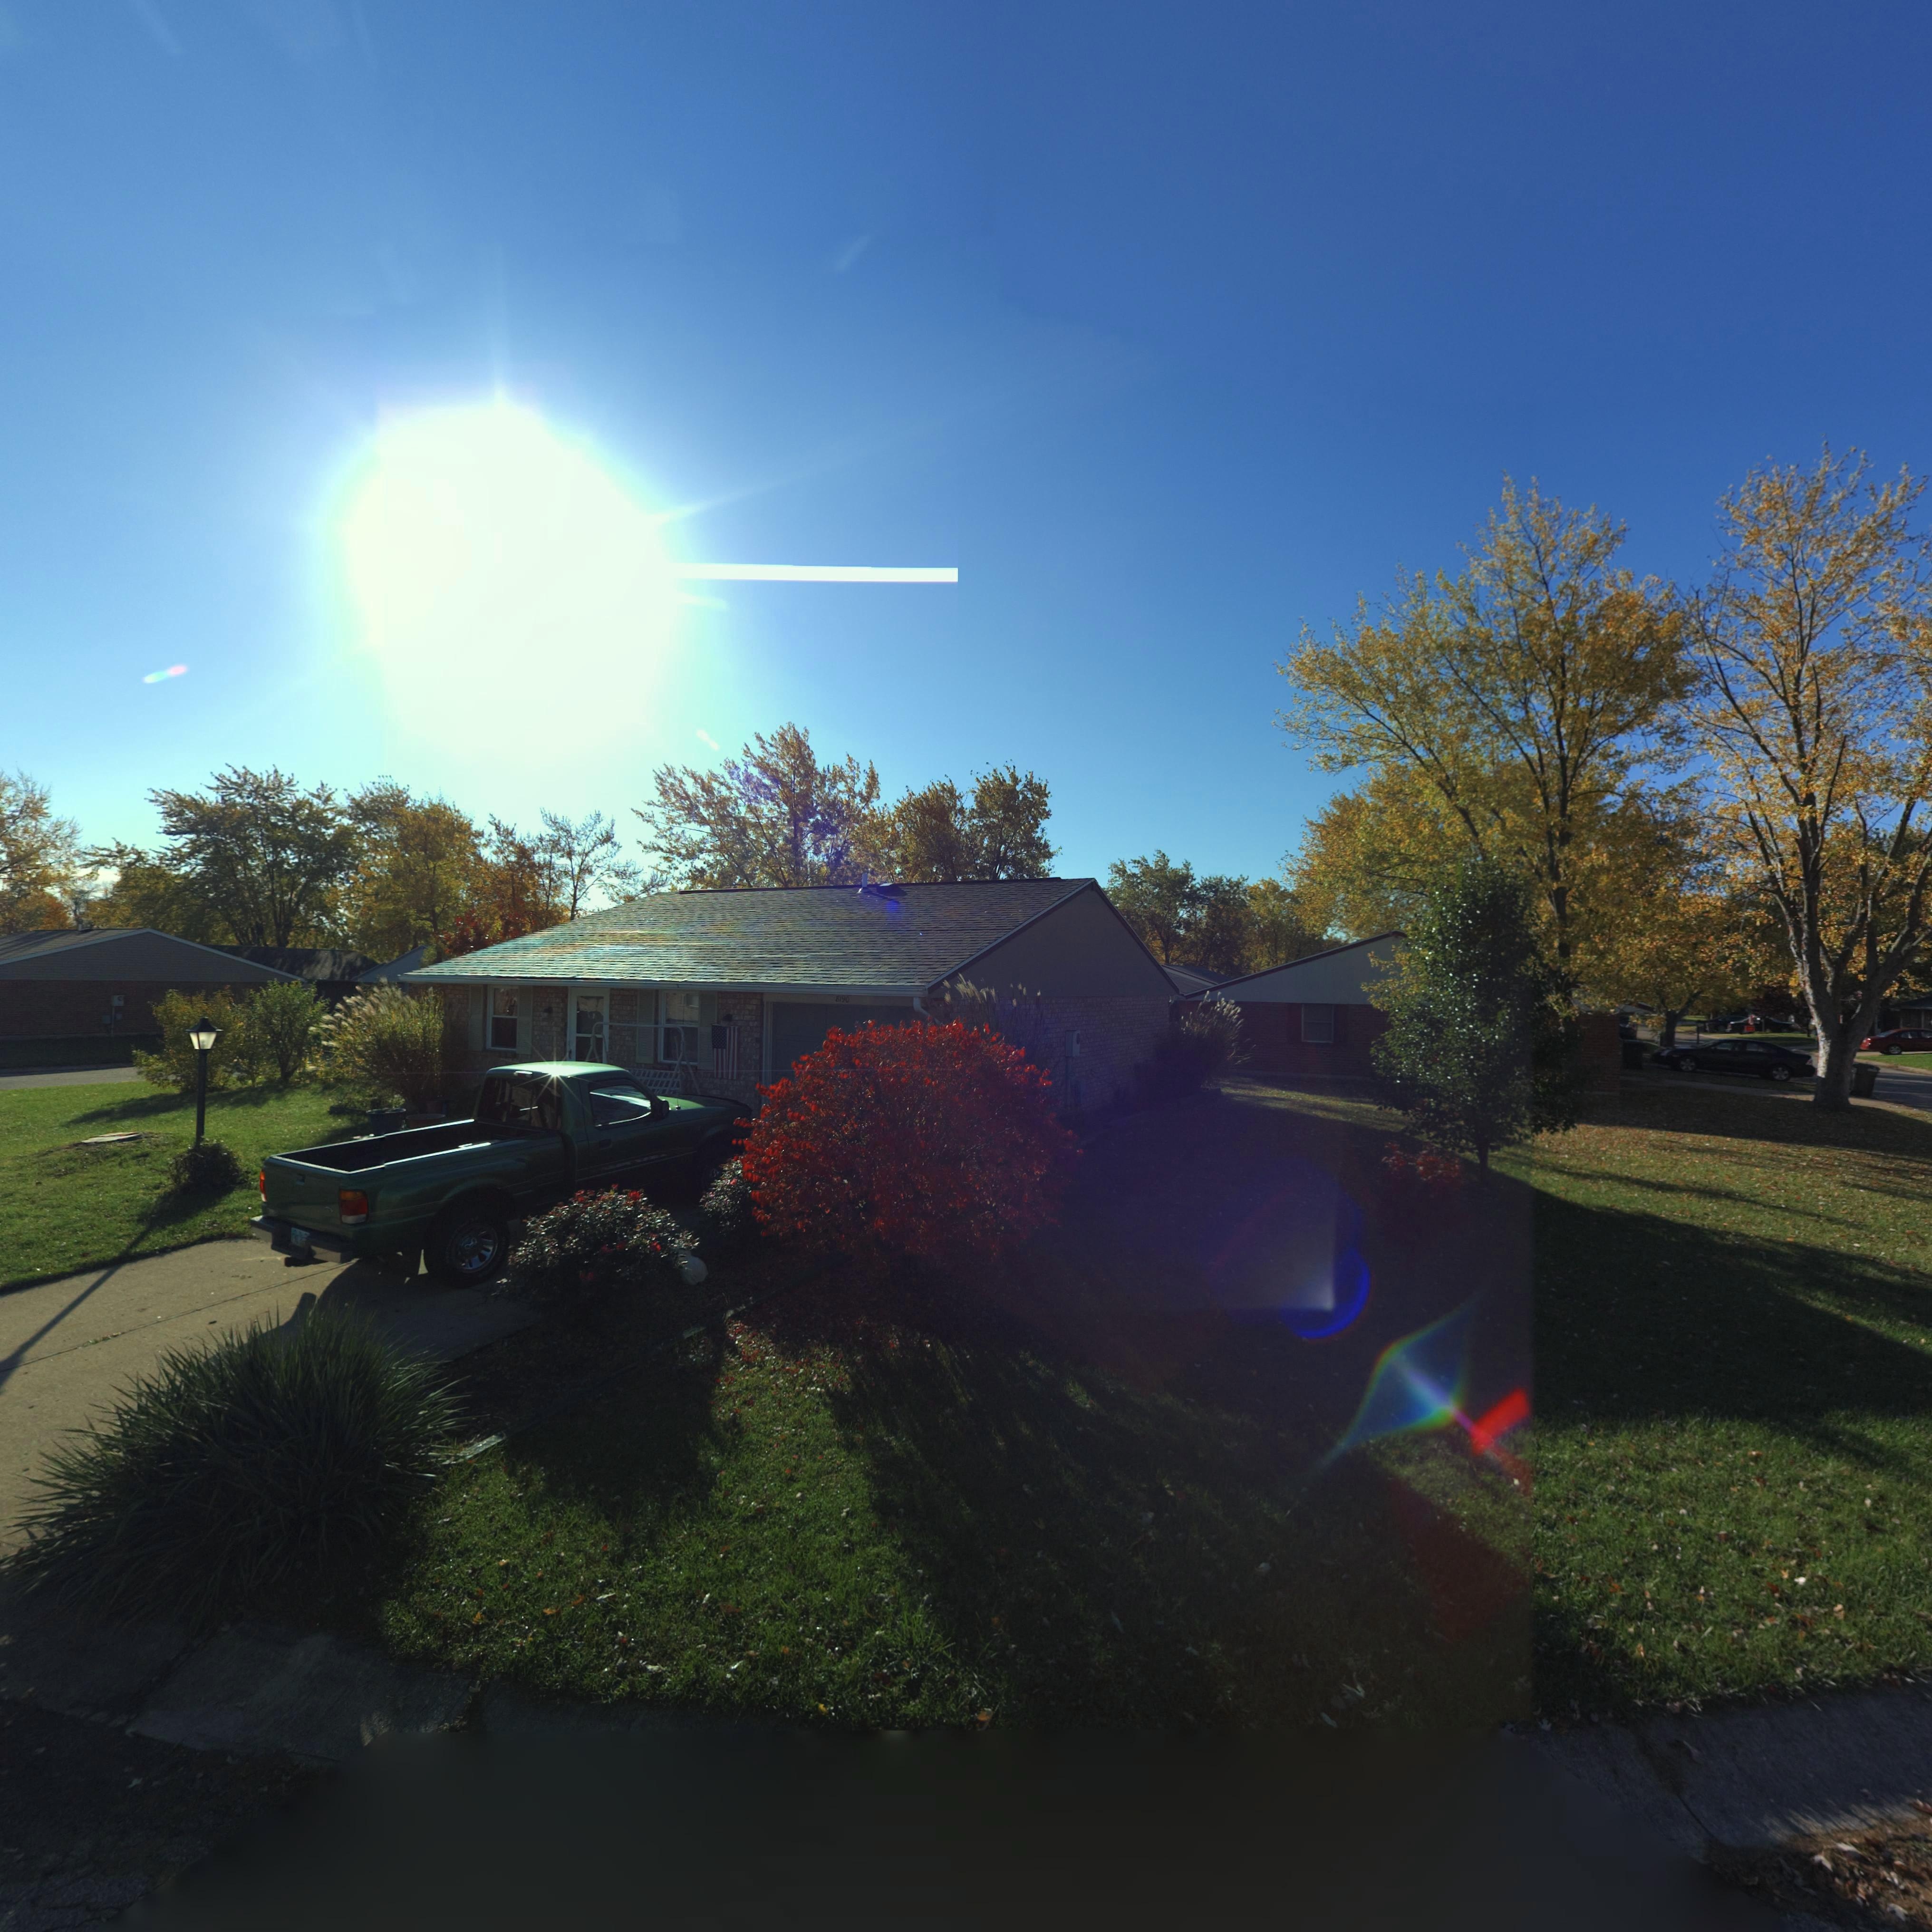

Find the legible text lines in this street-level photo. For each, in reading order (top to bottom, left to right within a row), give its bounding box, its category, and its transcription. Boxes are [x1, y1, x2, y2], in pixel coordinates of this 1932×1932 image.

[835, 995, 850, 1004] StreetNumber: 8190